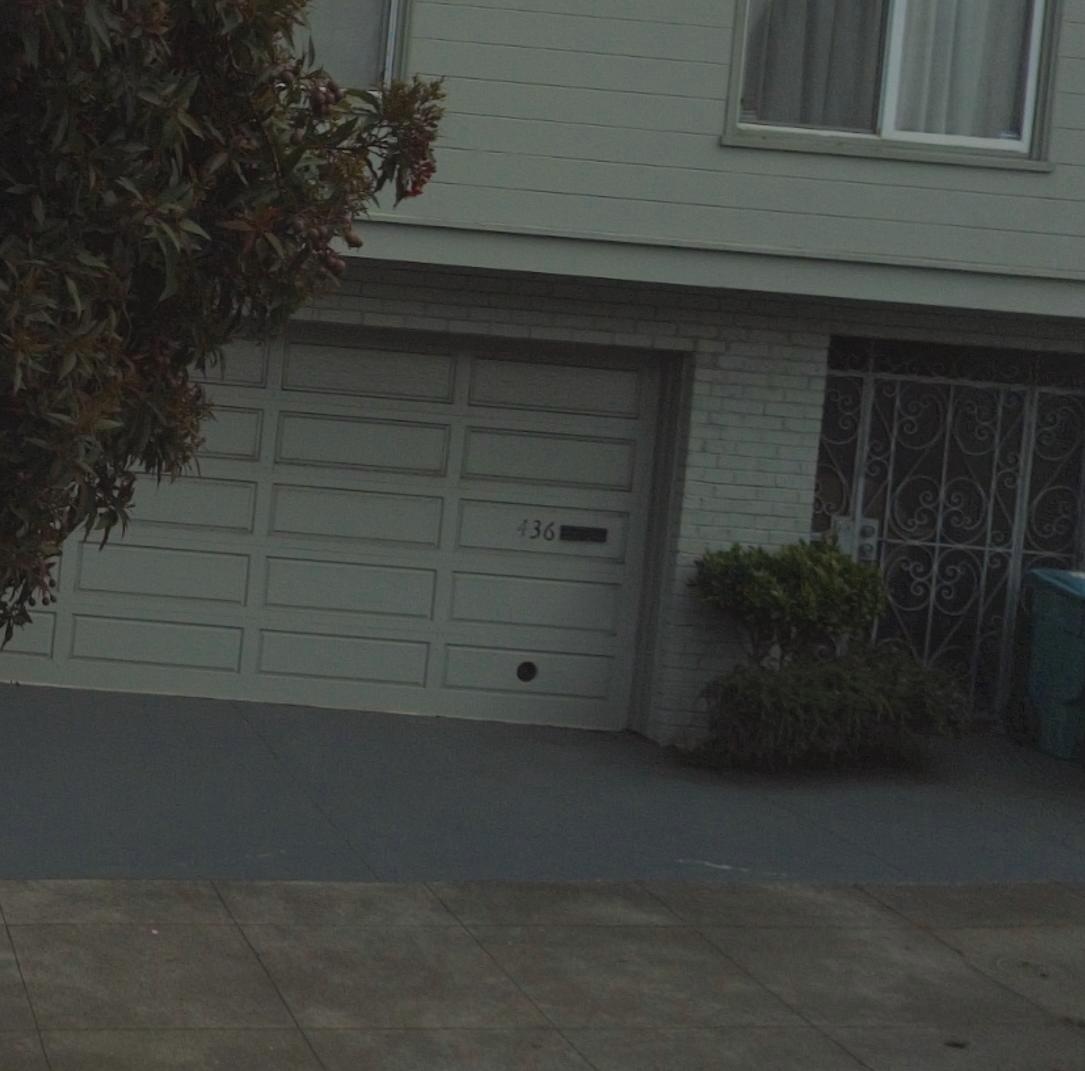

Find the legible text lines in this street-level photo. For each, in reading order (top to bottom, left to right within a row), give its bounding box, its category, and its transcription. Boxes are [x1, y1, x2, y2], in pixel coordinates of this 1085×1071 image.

[515, 517, 557, 541] StreetNumber: 436